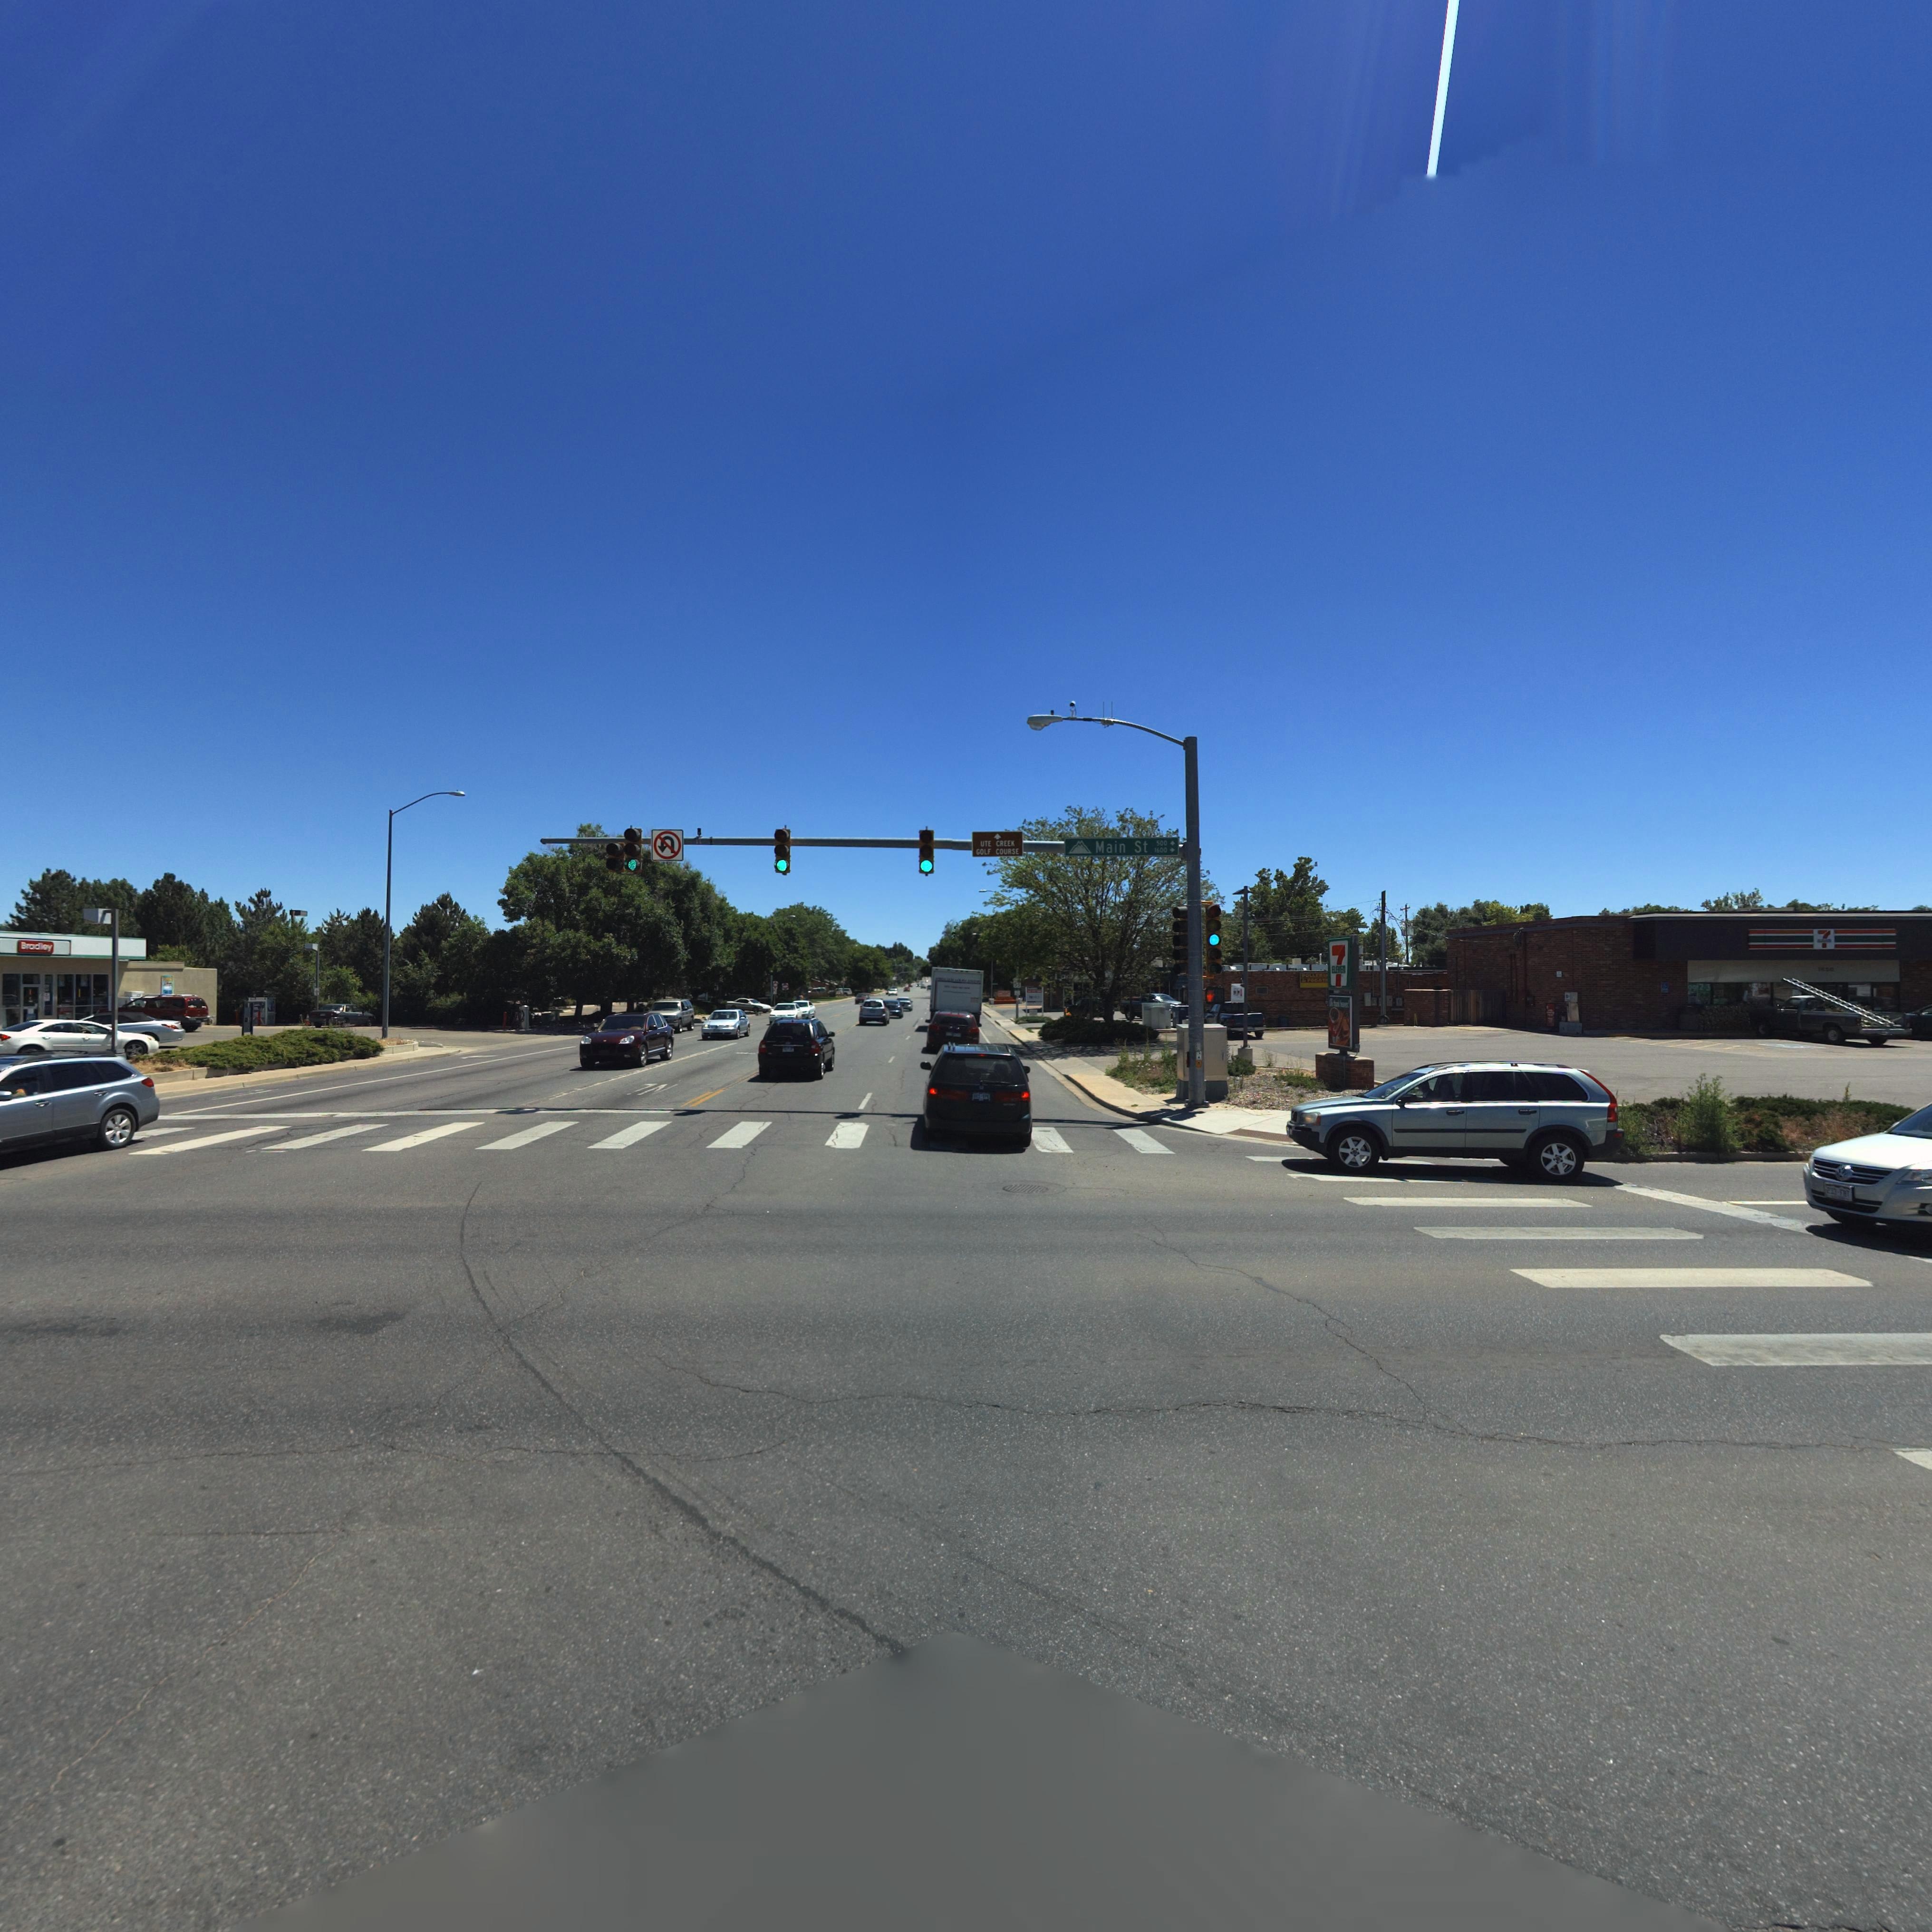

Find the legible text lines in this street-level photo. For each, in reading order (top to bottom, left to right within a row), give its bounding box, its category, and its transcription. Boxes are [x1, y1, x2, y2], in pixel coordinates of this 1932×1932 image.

[1096, 840, 1148, 853] StreetName: Main St
[1156, 840, 1168, 846] StreetNumberRange: 500
[1154, 846, 1176, 853] StreetNumberRange: 1600->
[1817, 929, 1831, 948] BusinessName: 7
[20, 941, 53, 952] BusinessName: Bradley
[1331, 944, 1345, 987] BusinessName: 7
[1331, 965, 1345, 974] BusinessName: ELEVEN
[1817, 966, 1835, 972] StreetNumber: 1**0